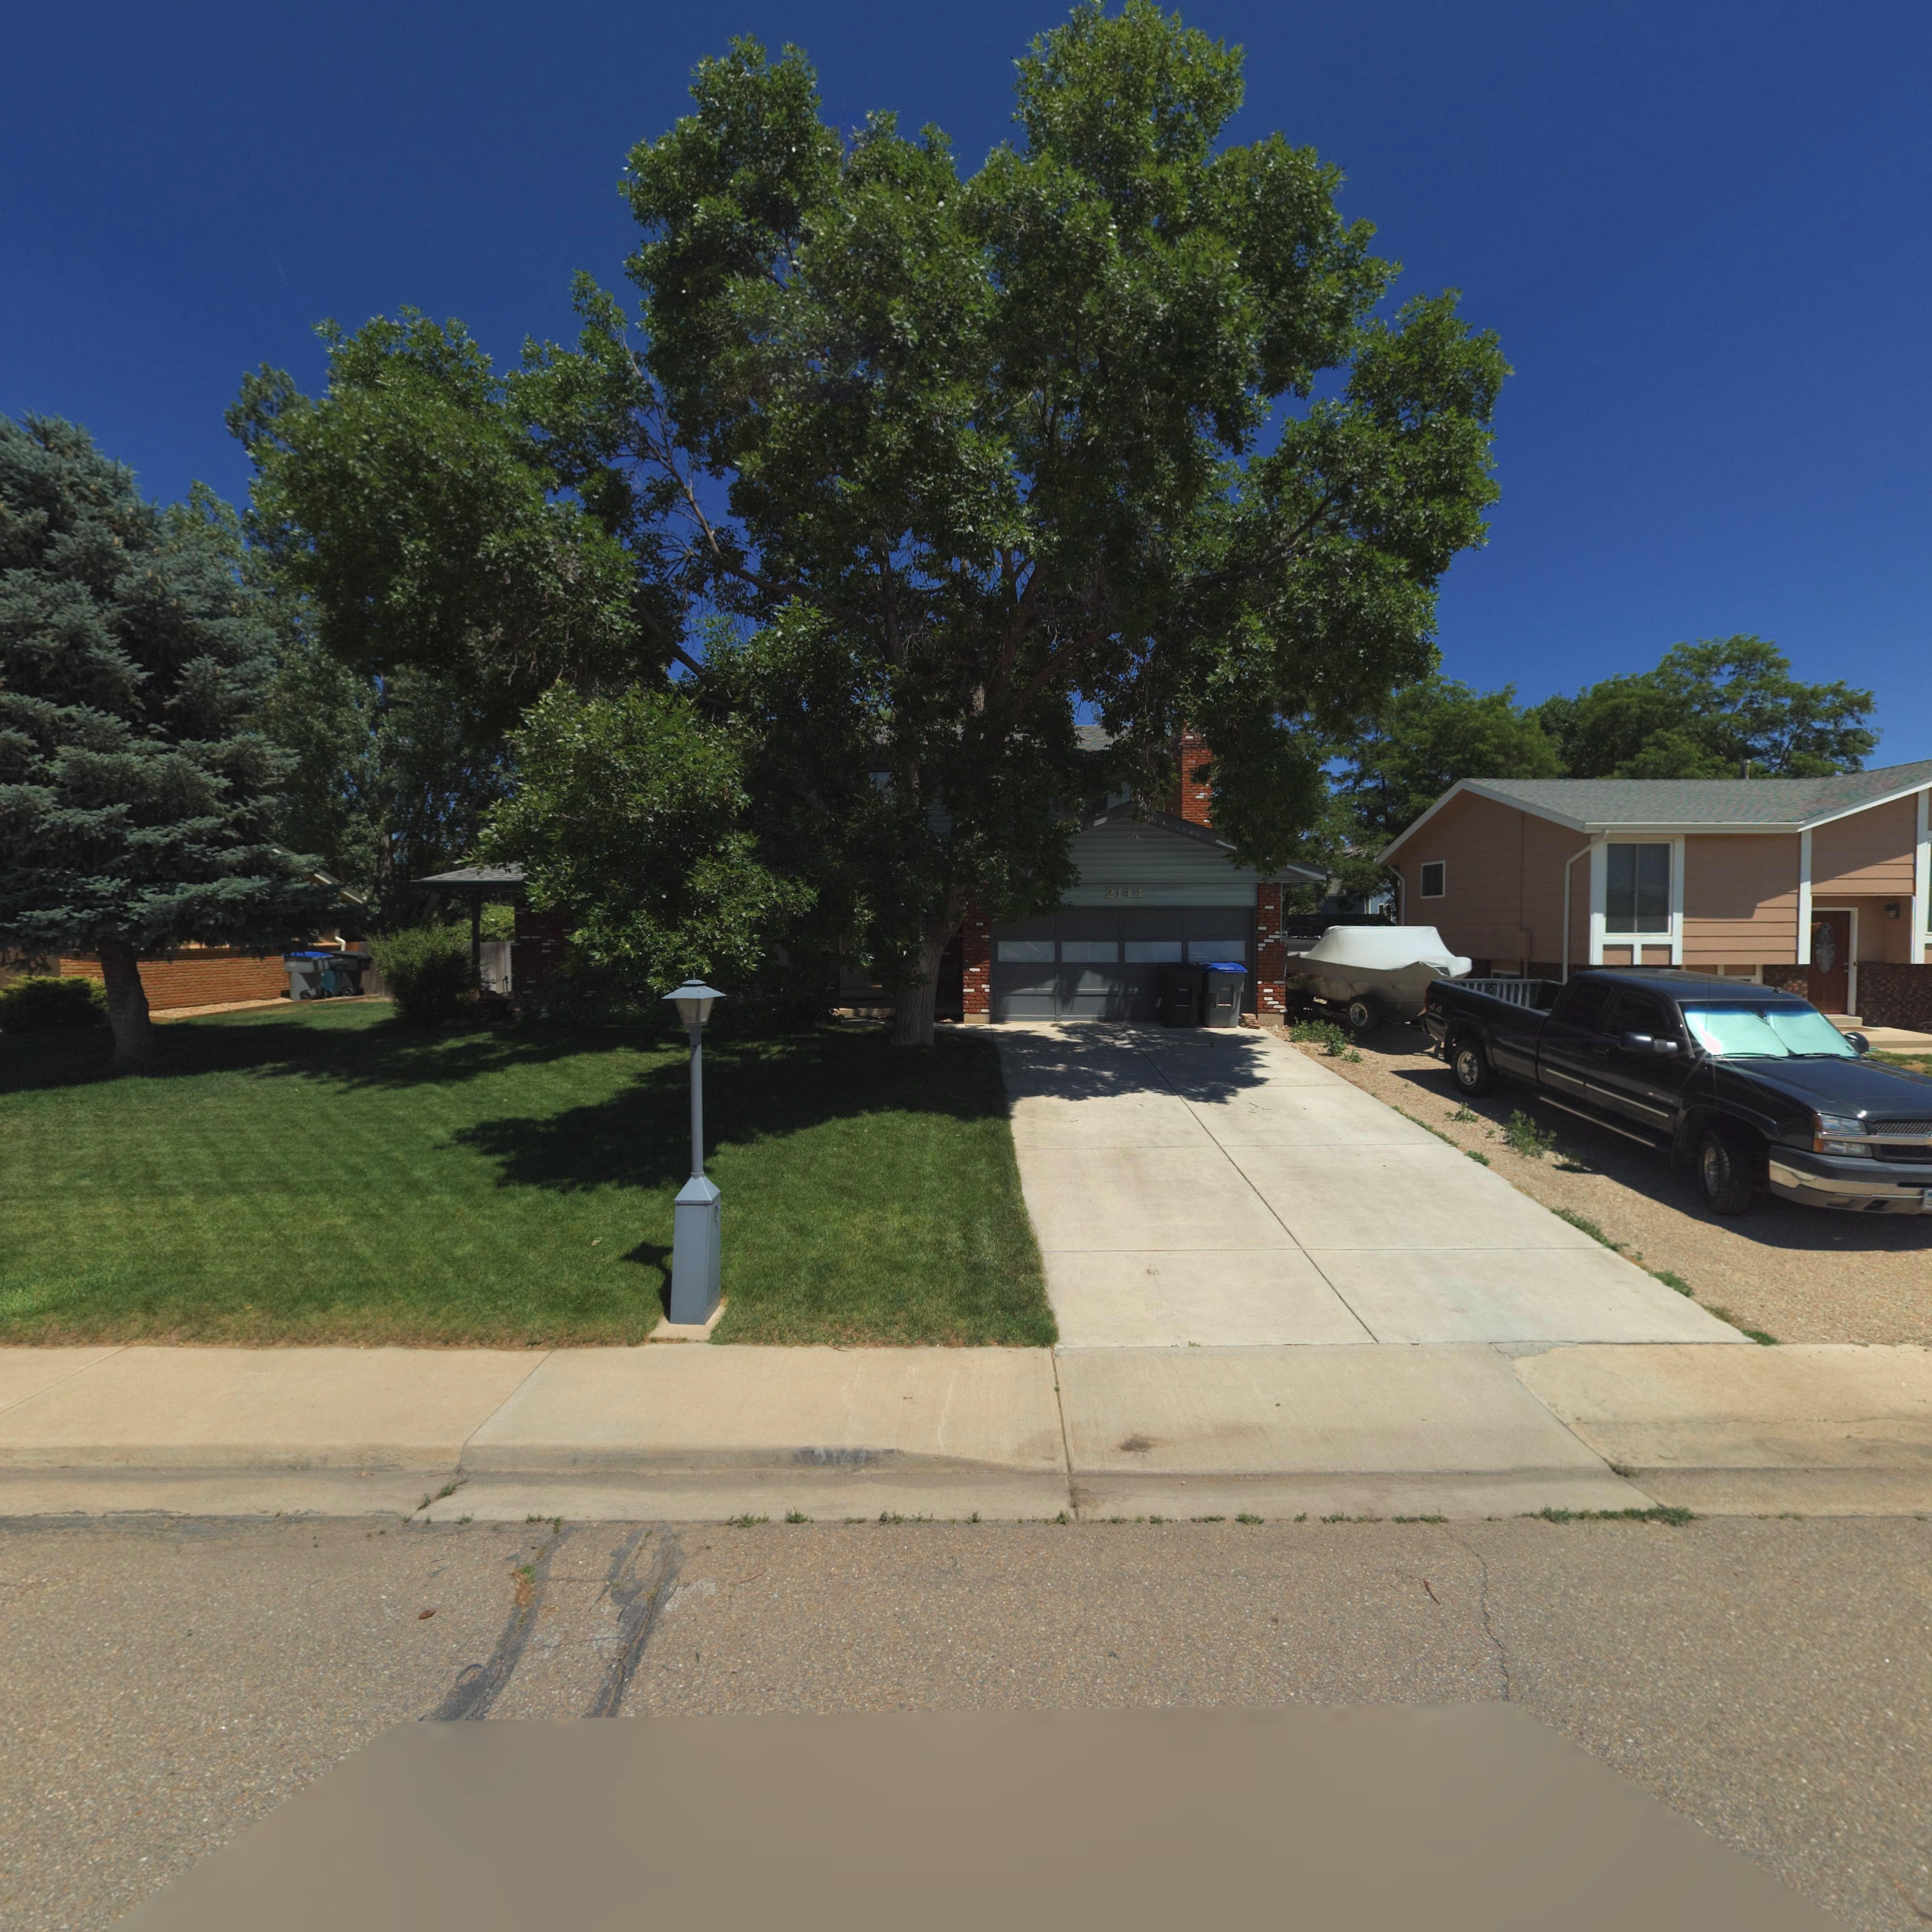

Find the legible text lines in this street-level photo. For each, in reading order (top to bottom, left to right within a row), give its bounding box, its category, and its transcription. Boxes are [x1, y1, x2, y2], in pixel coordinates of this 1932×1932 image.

[1105, 887, 1142, 898] StreetNumber: 2144